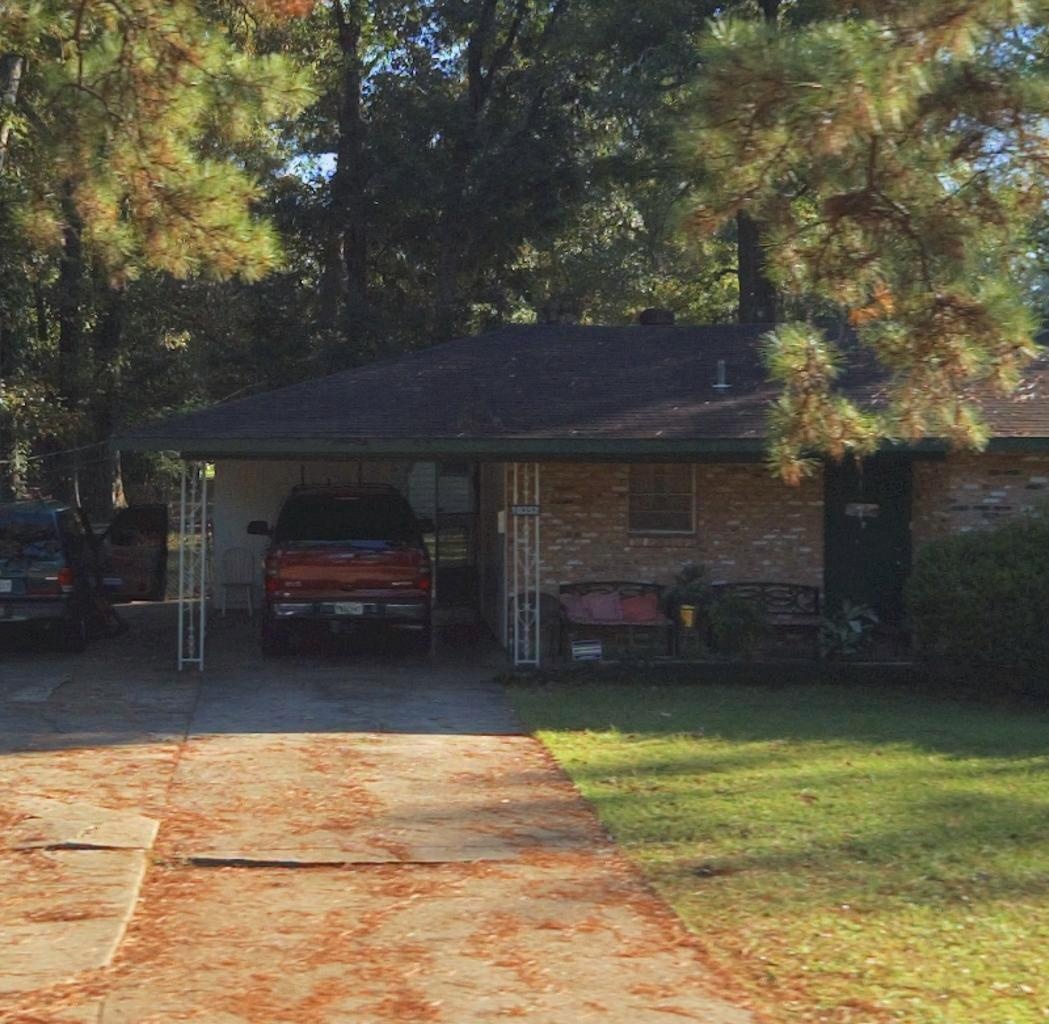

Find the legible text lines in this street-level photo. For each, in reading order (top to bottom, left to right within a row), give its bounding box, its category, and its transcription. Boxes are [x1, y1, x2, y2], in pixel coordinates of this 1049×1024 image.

[510, 505, 540, 515] StreetNumber: 10352